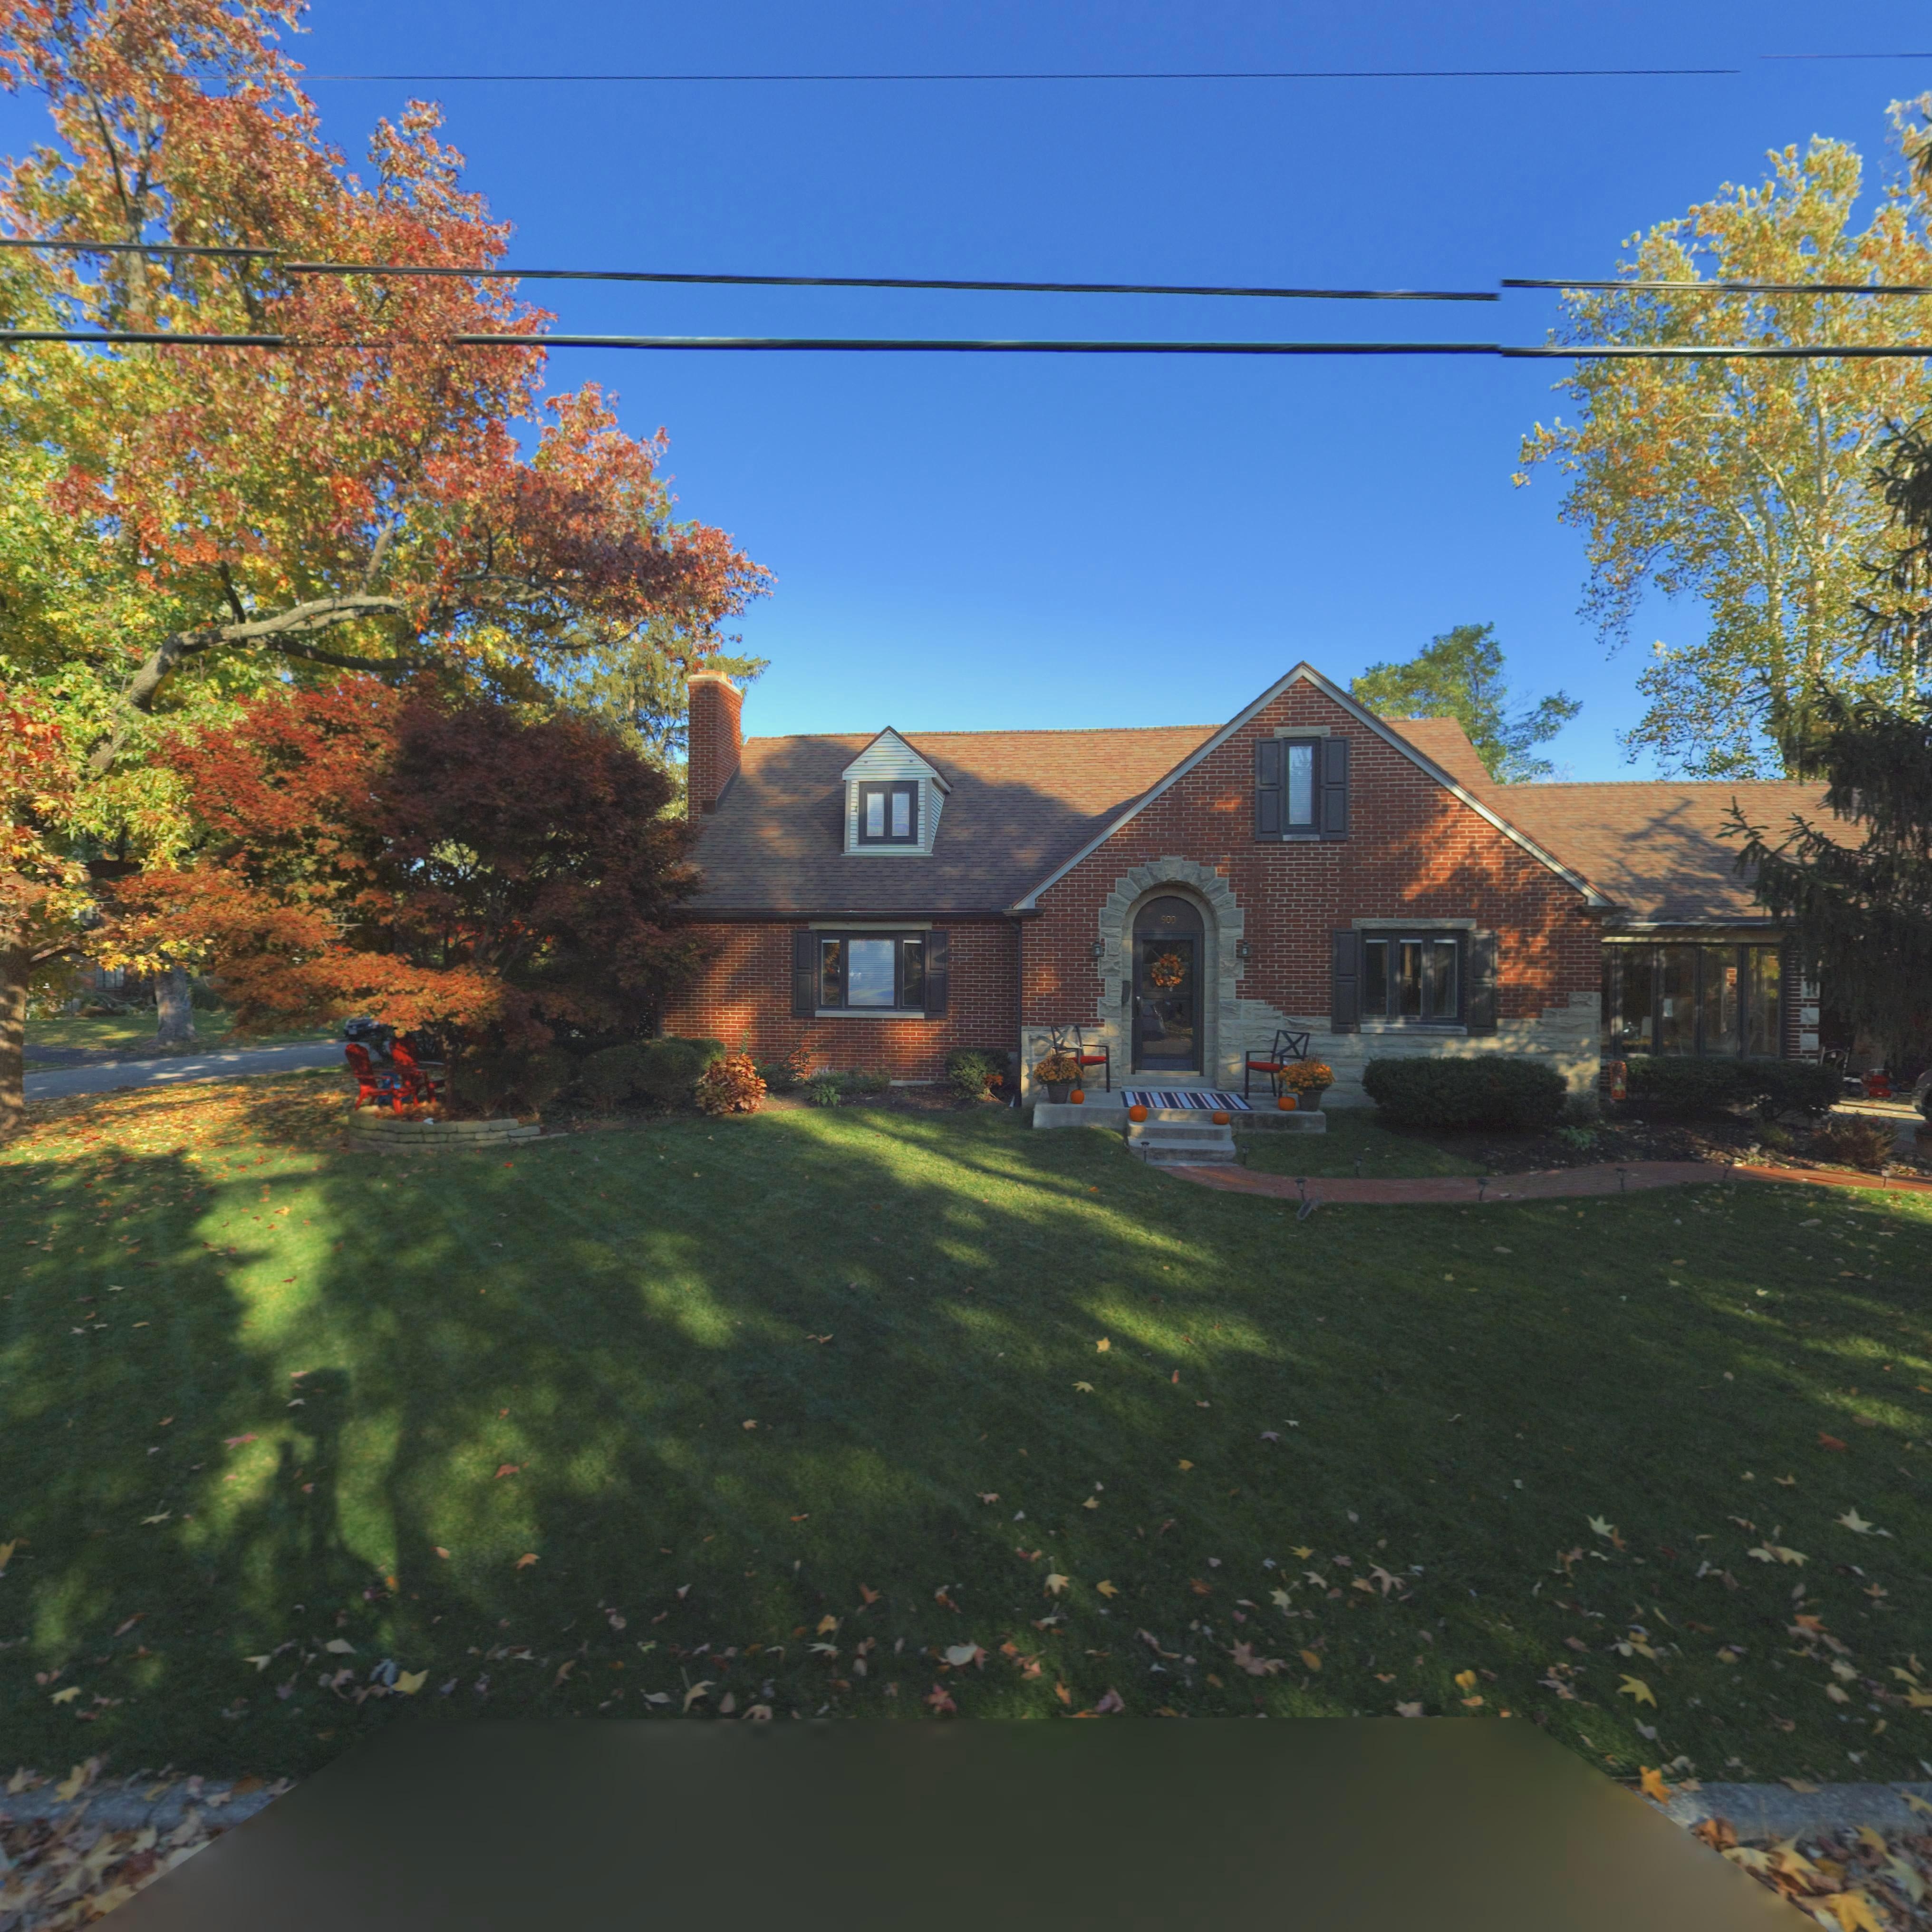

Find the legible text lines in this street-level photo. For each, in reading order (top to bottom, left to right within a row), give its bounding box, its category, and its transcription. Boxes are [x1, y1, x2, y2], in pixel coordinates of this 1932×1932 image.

[1161, 915, 1176, 924] StreetNumber: 900